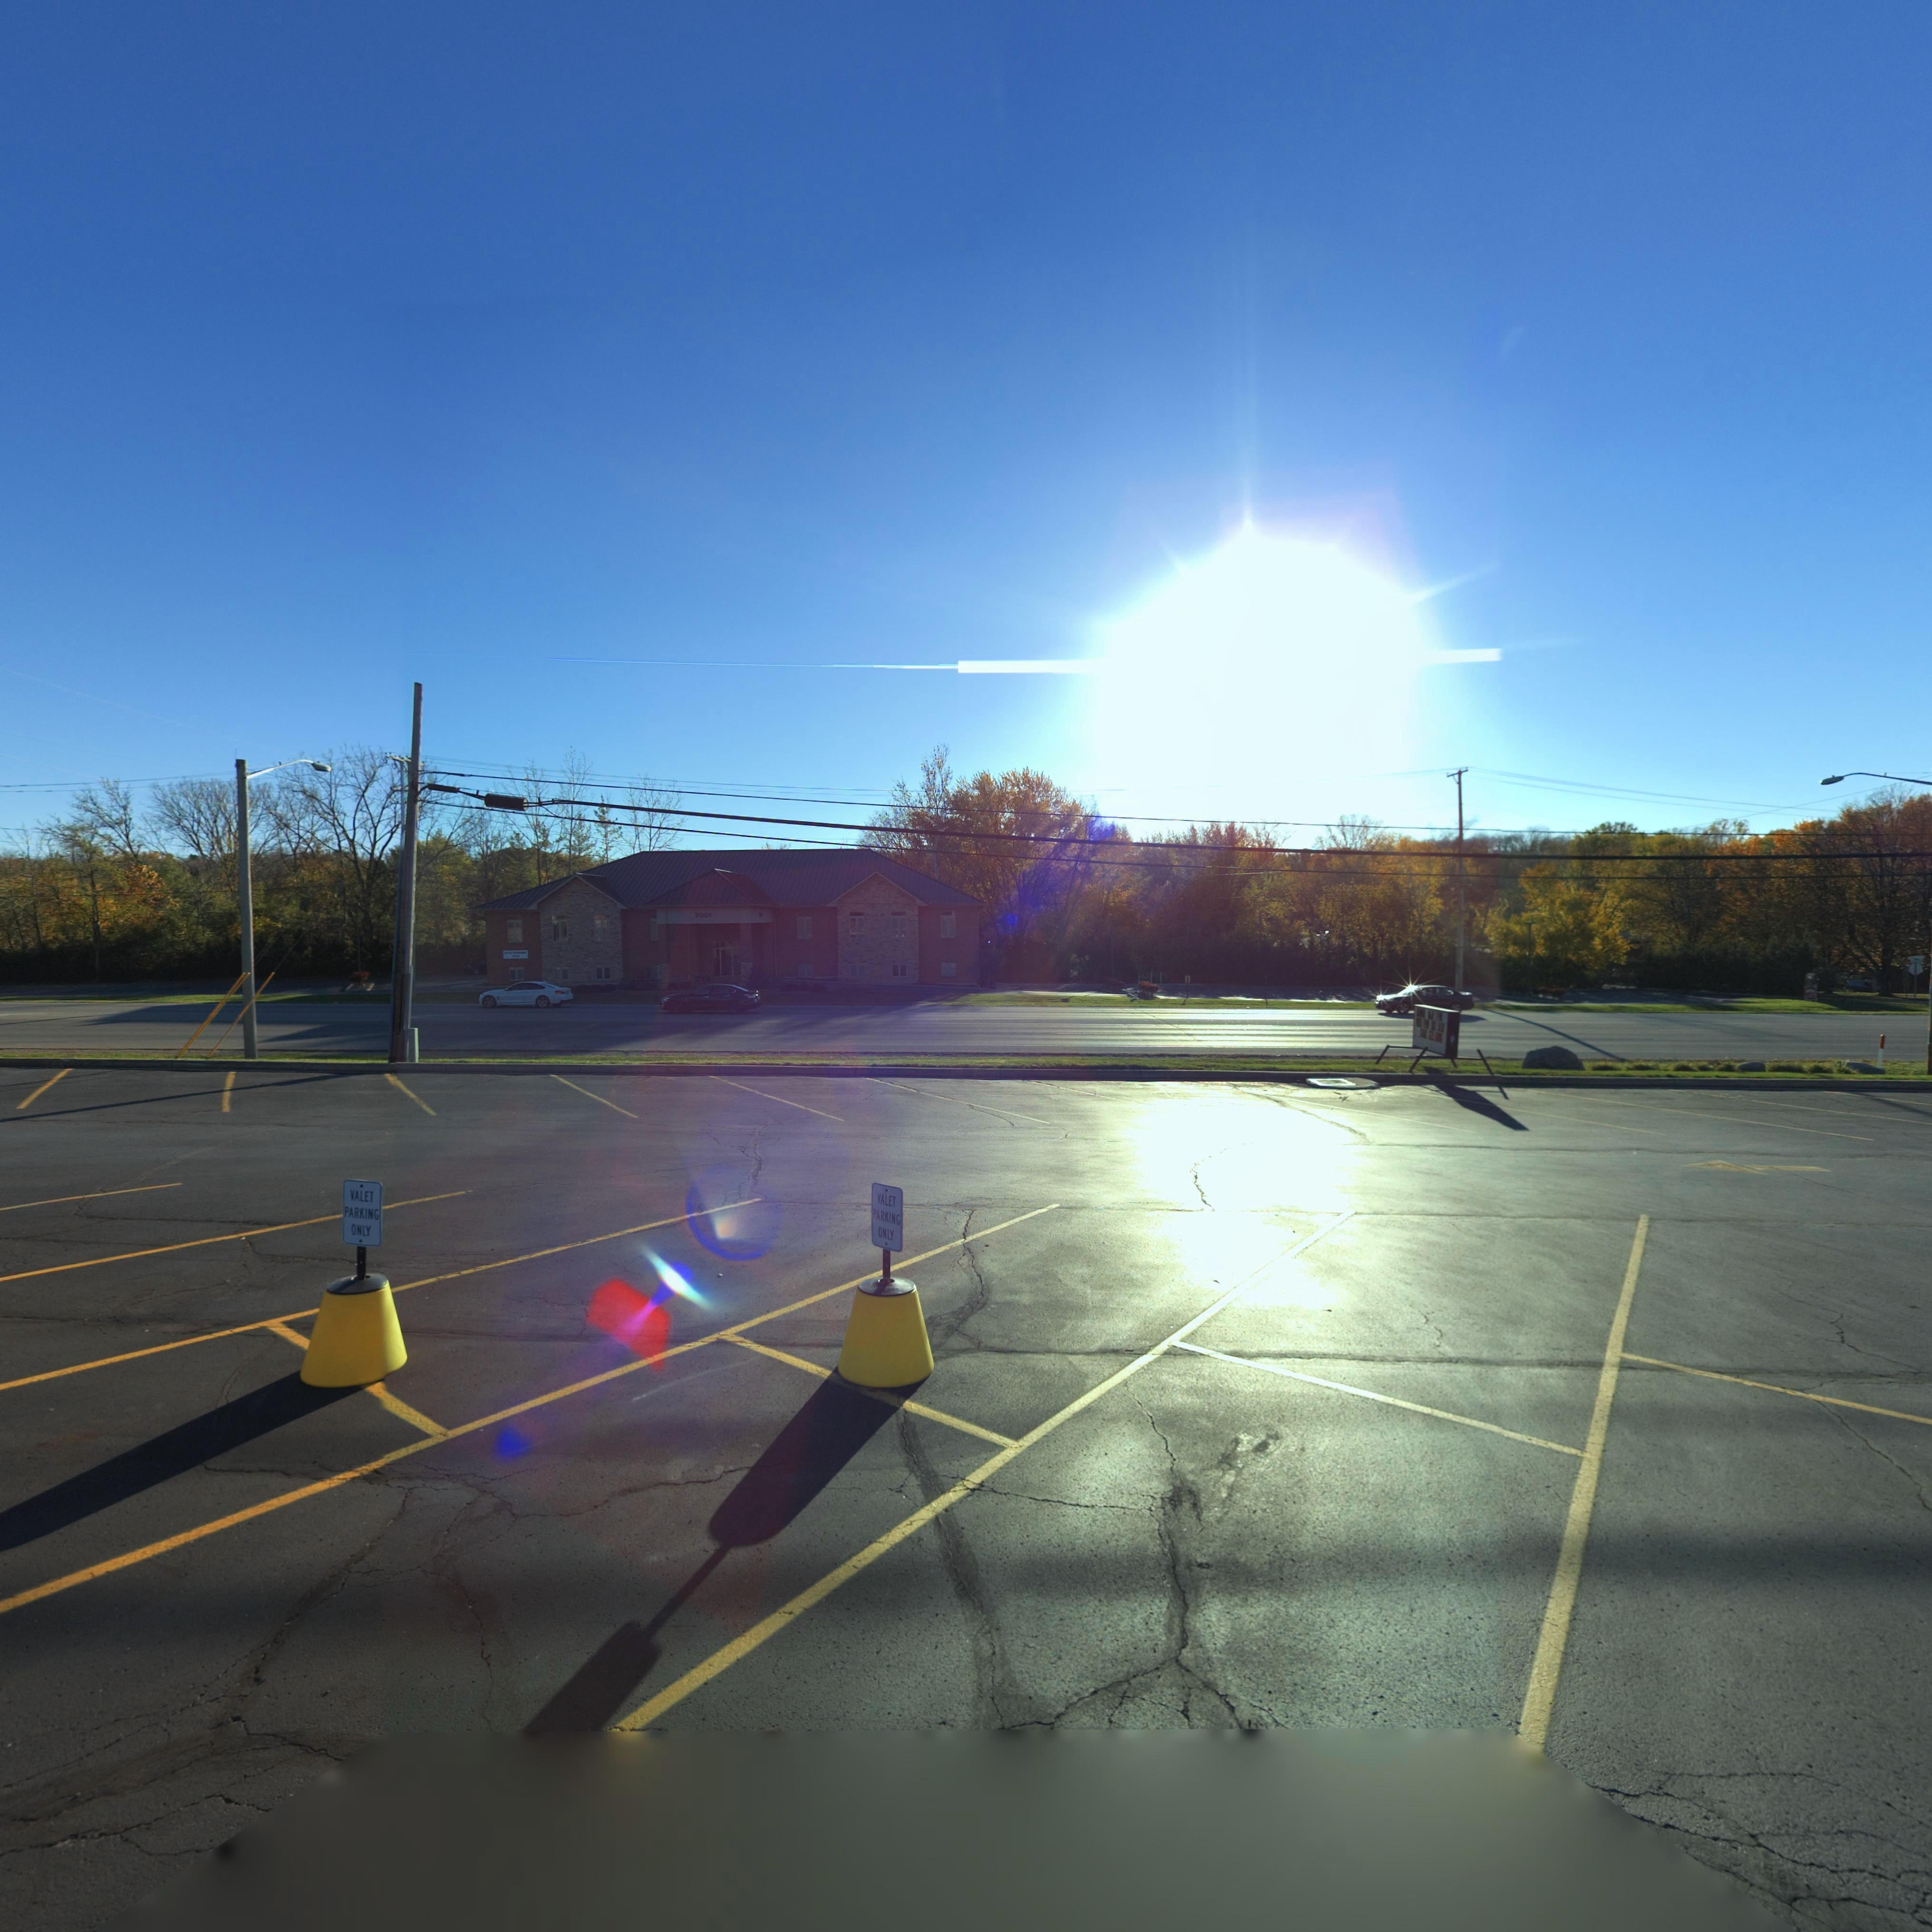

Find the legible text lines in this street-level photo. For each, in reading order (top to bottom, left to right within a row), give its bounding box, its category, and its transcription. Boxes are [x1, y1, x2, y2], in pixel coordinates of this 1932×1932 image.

[695, 912, 712, 918] StreetNumber: 9001